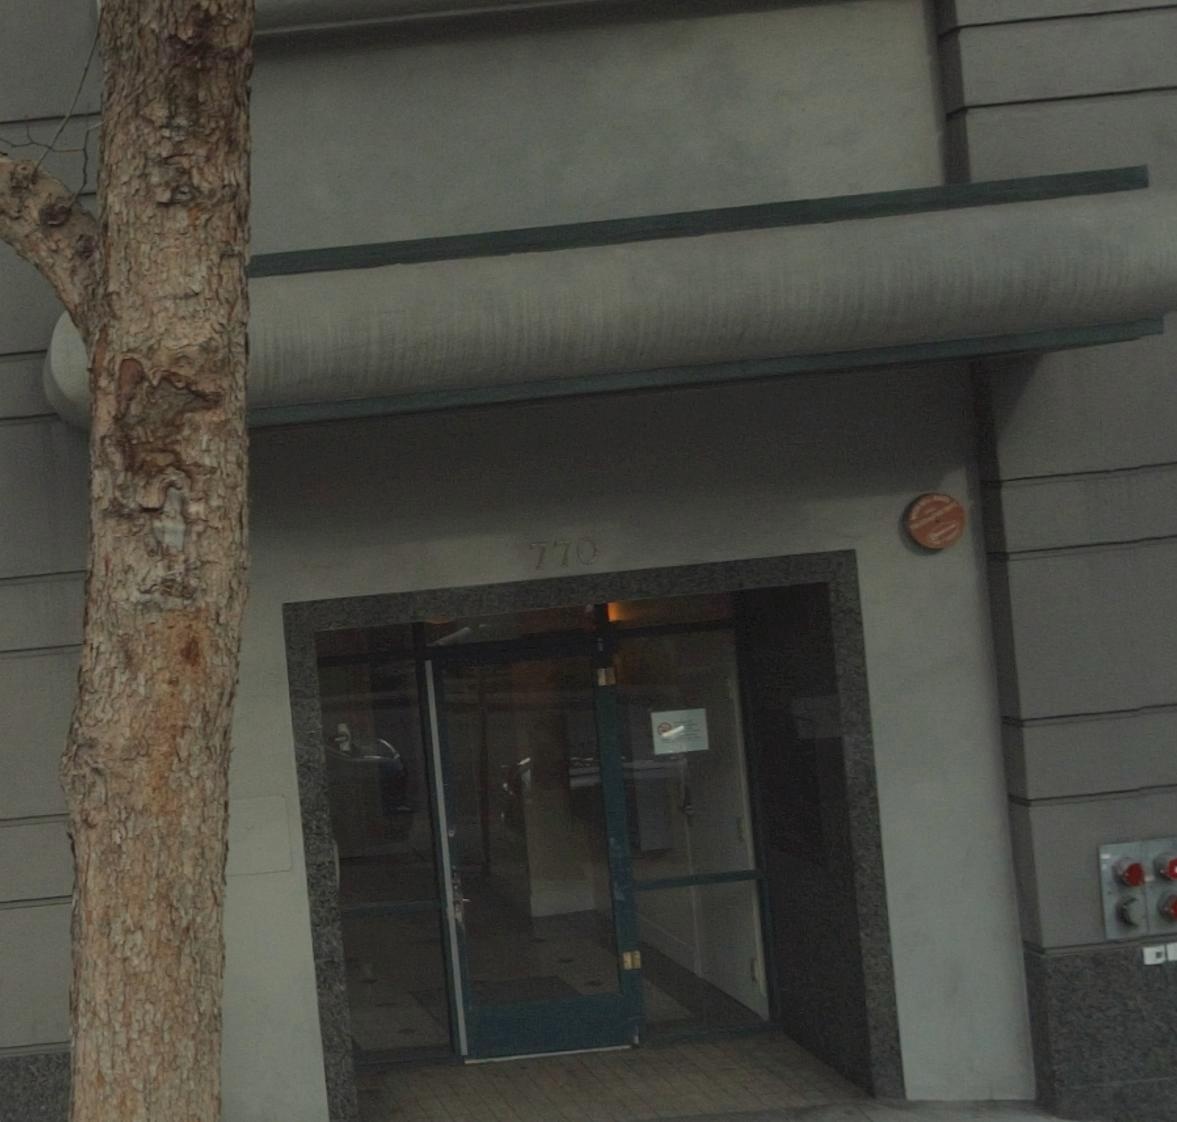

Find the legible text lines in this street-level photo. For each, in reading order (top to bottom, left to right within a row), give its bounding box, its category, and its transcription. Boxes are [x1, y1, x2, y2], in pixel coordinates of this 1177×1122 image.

[526, 534, 602, 572] StreetNumber: 770